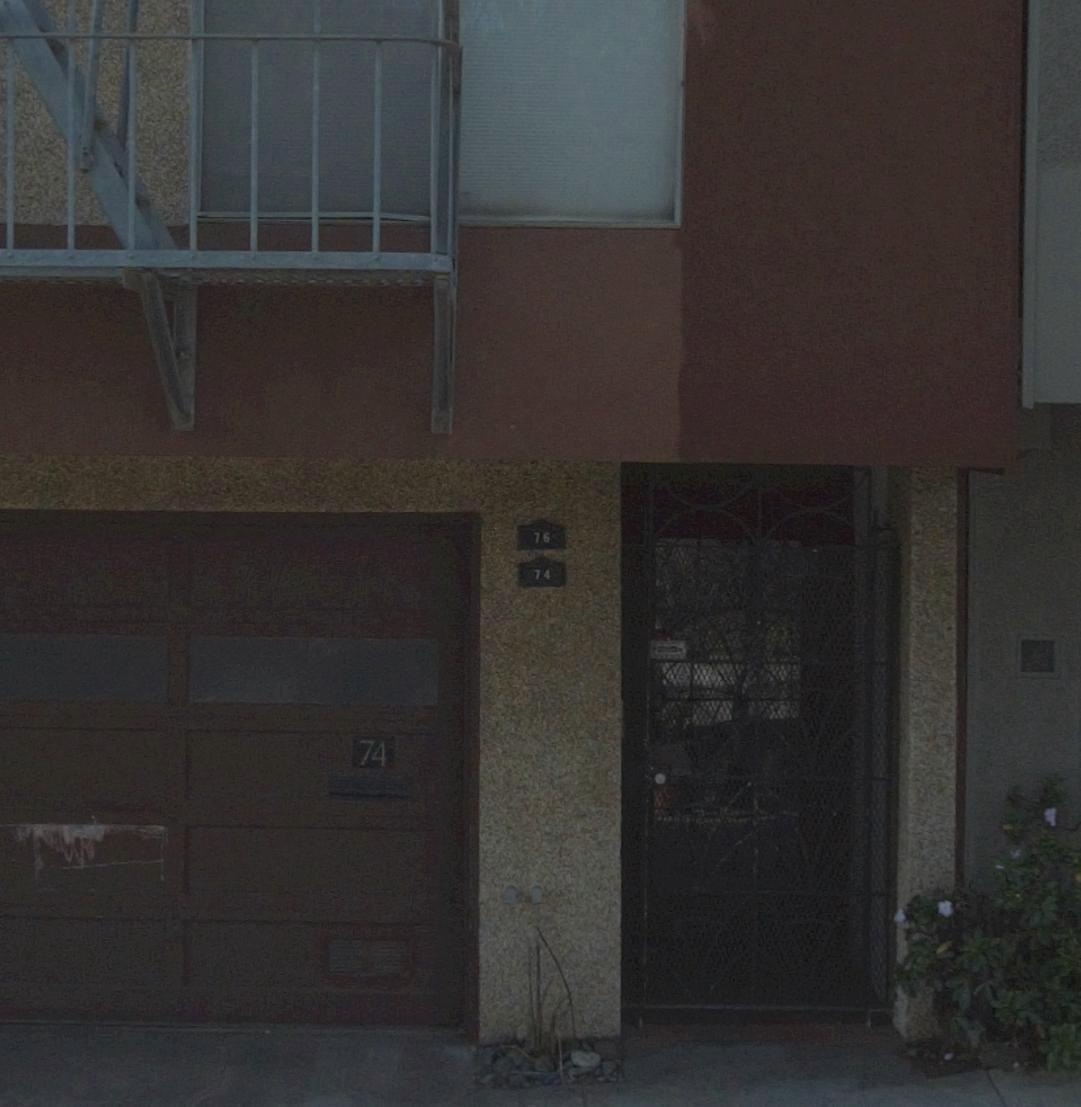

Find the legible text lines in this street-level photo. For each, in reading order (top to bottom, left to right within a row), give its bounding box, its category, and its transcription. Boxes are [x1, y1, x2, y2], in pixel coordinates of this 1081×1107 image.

[532, 531, 551, 544] StreetNumber: 76
[533, 568, 551, 580] StreetNumber: 74
[356, 737, 386, 767] StreetNumber: 74